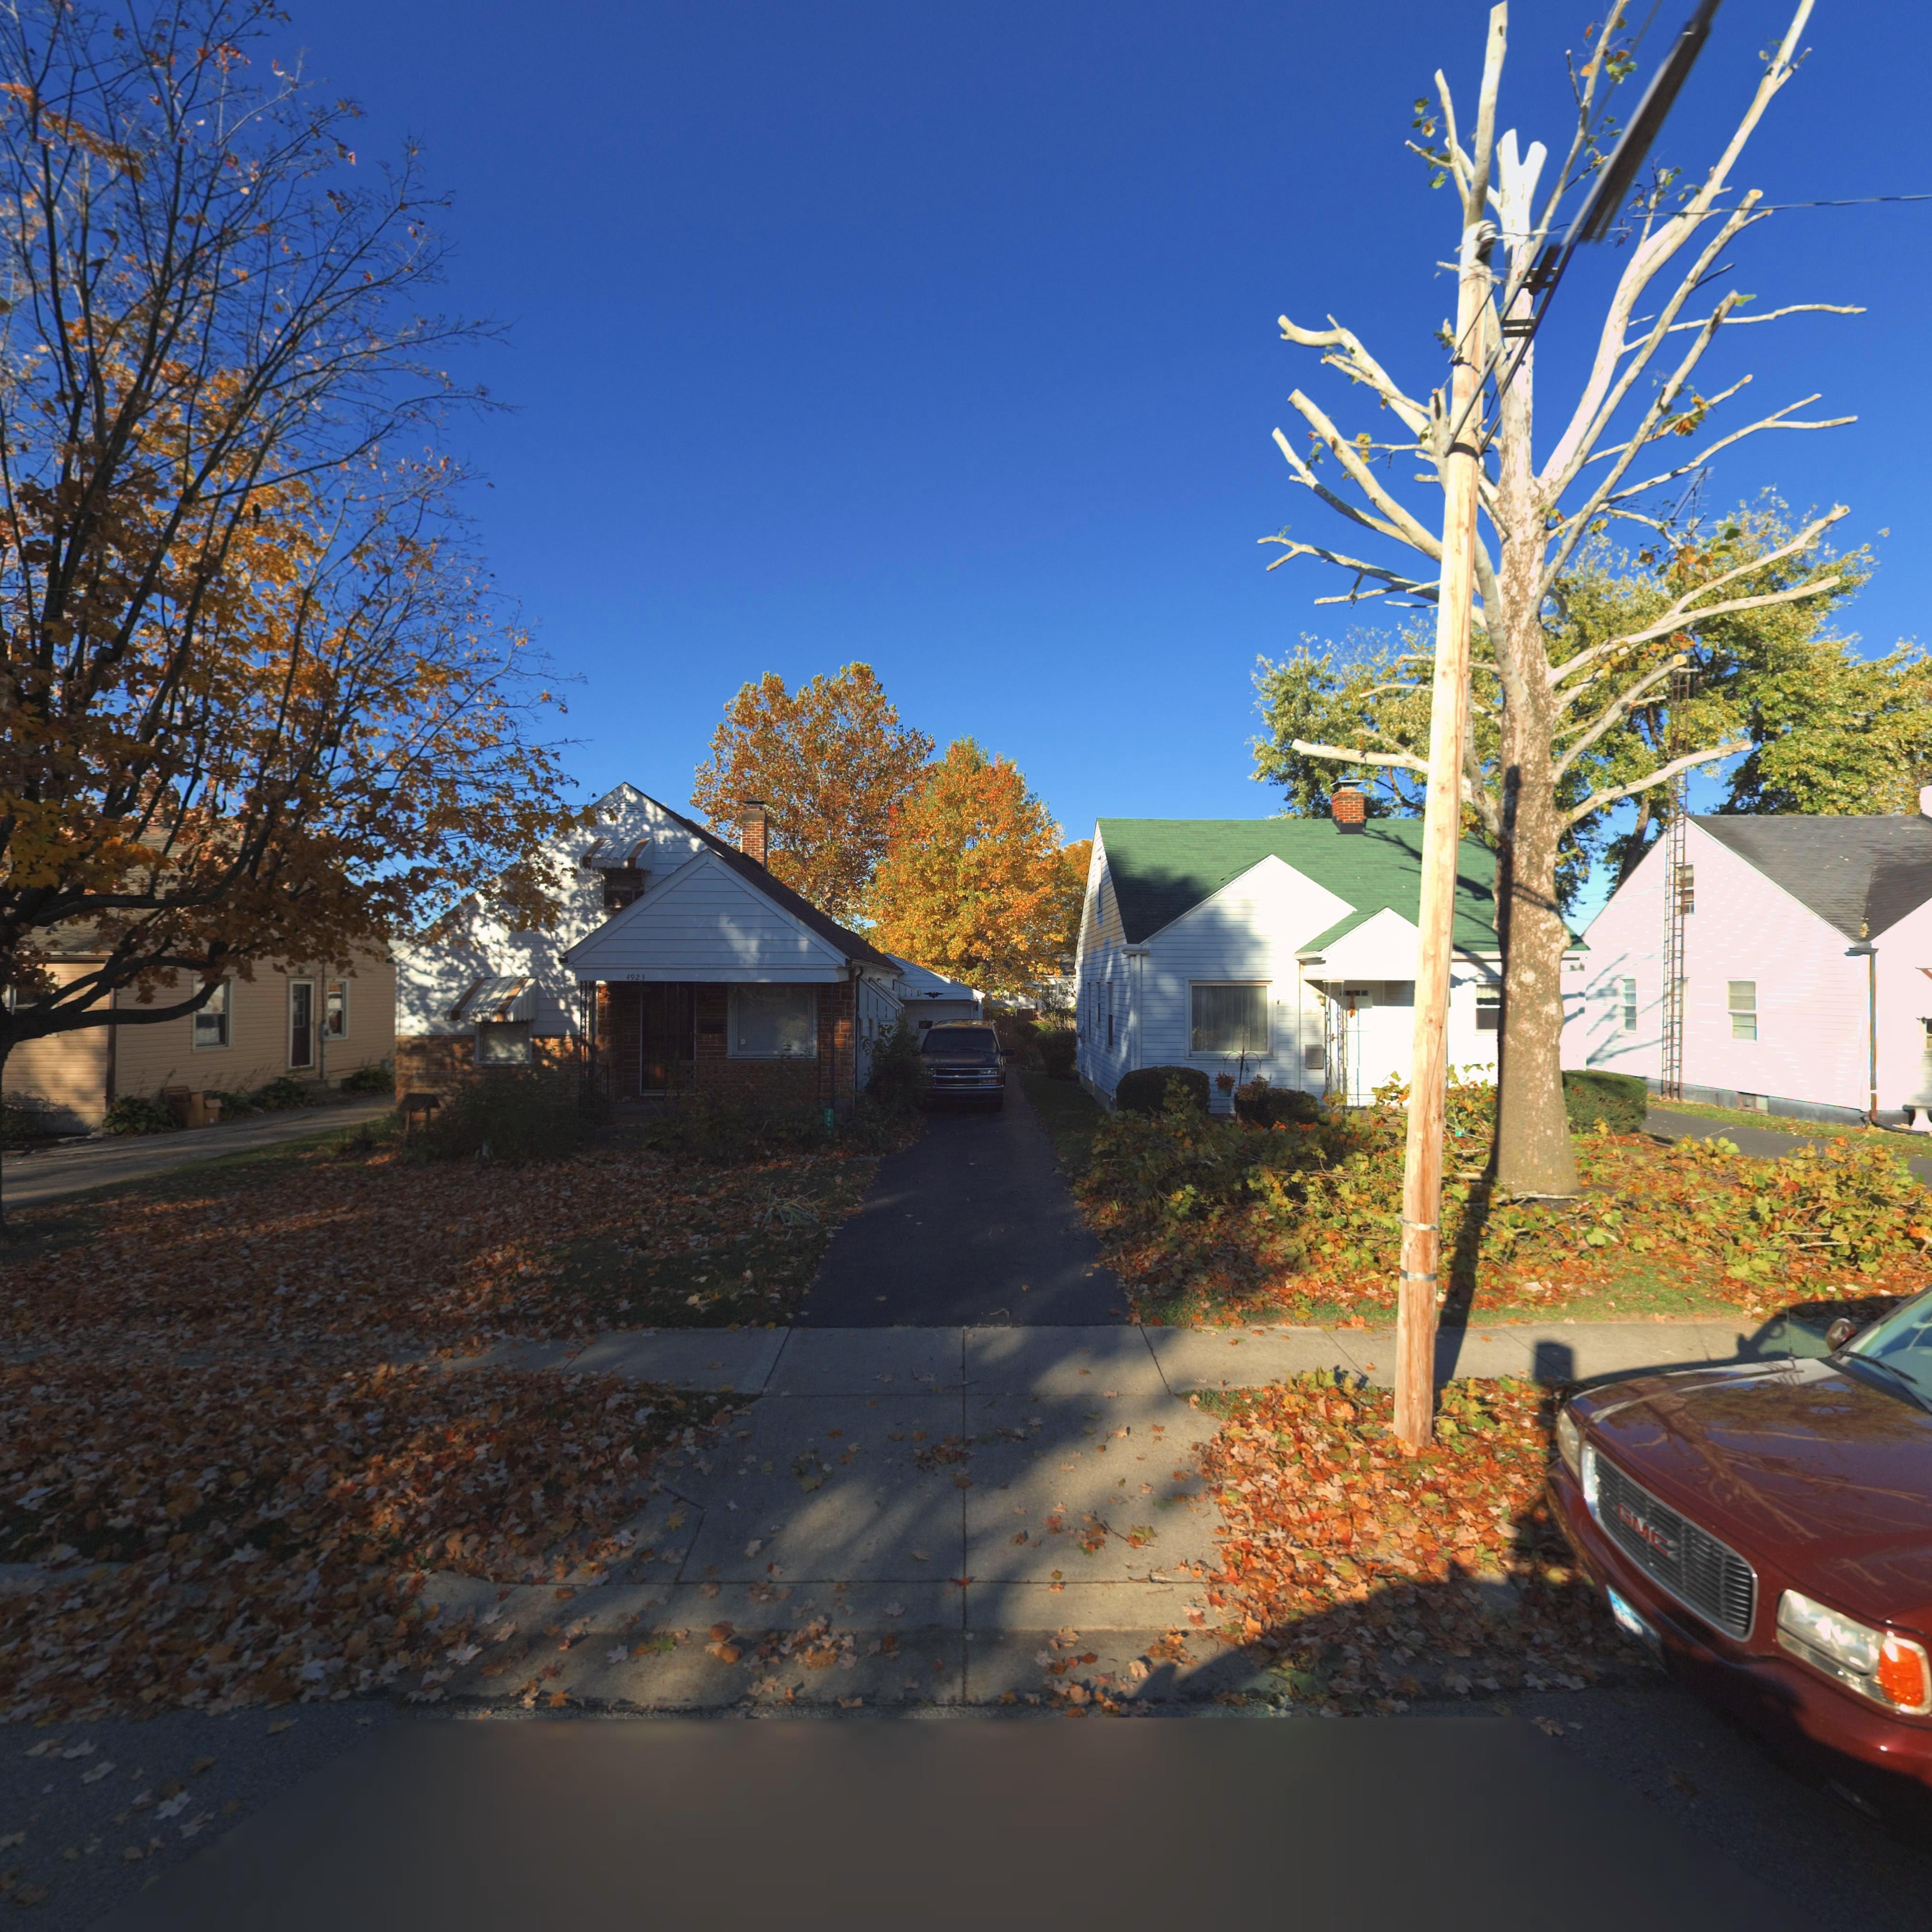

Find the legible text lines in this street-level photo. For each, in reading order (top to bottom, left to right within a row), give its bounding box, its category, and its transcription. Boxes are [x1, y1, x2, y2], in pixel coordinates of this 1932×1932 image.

[625, 973, 646, 982] StreetNumber: 4923